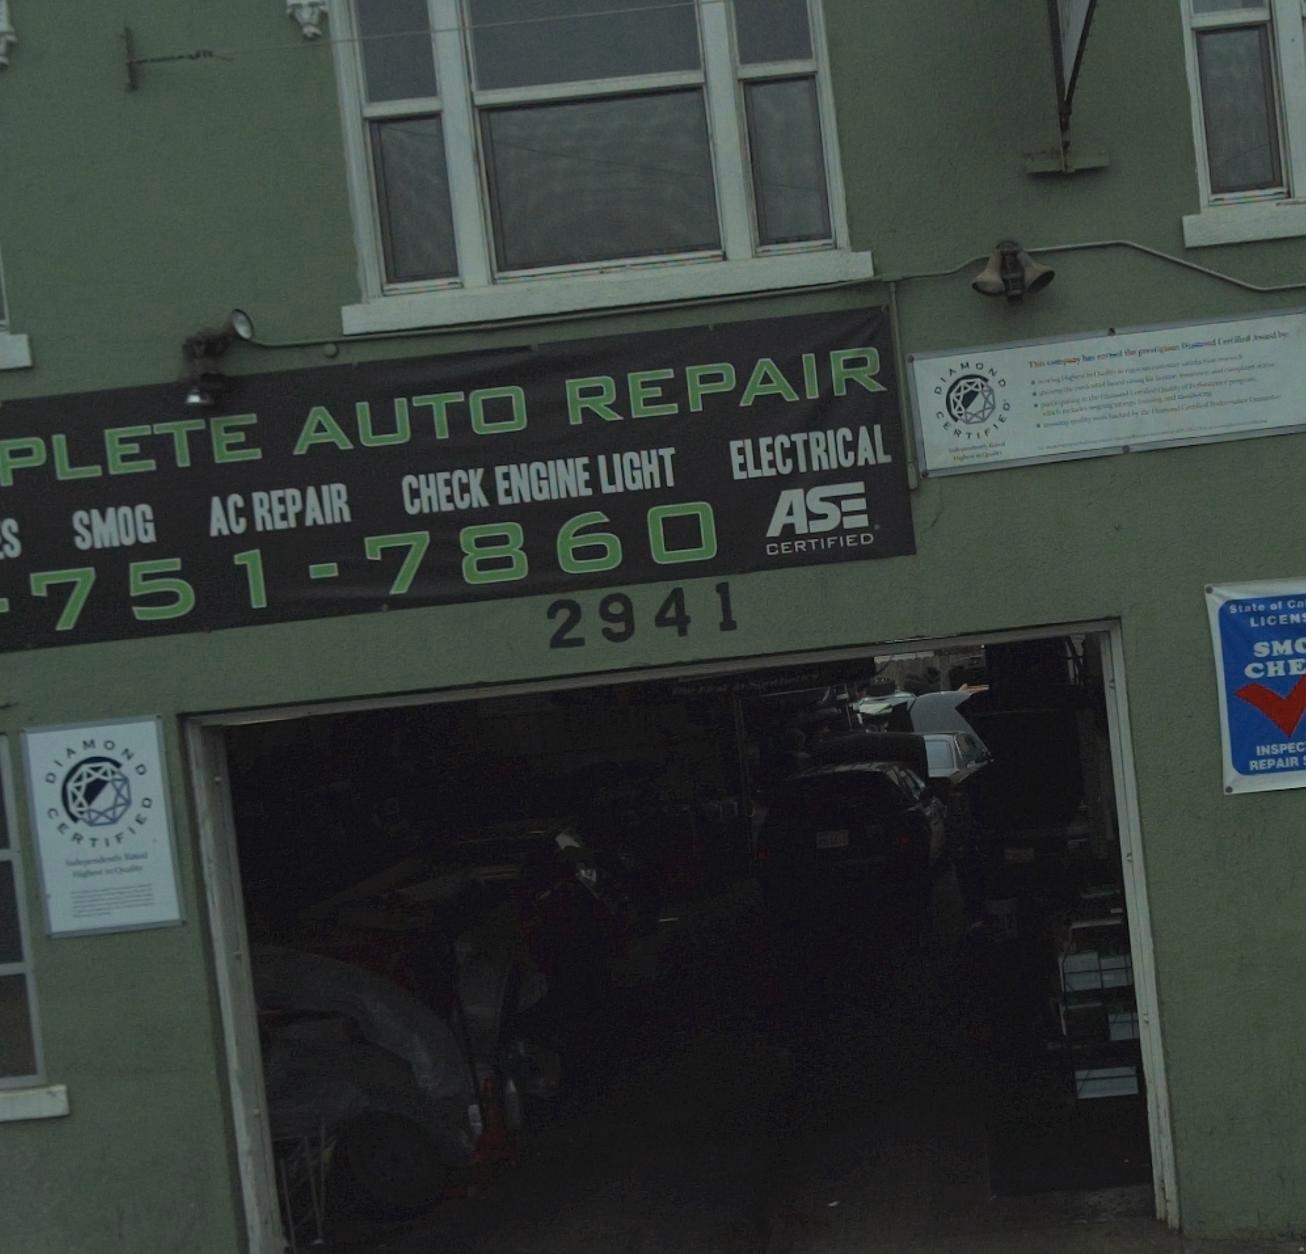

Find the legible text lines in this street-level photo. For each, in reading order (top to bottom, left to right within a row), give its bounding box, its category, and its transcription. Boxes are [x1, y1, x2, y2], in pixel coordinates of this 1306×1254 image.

[932, 360, 1010, 397] None: DIAMOND
[1024, 342, 1182, 373] None: This company has earned the prestigious
[0, 342, 893, 492] BusinessName: PLETE AUTO REPAIR
[933, 399, 1012, 442] None: CERTIFIED
[725, 421, 895, 484] None: ELECTRICAL
[397, 443, 682, 520] None: CHECK ENGINE LIGHT
[0, 513, 26, 564] None: S
[69, 500, 160, 556] None: SMOG
[205, 479, 356, 539] None: AC REPAIR
[26, 496, 723, 640] None: 751-7860
[761, 476, 873, 543] None: AS*
[763, 531, 875, 557] None: CERTIFIED
[540, 576, 741, 656] StreetNumber: 2941
[1227, 594, 1306, 617] None: State of Ca
[1244, 610, 1306, 630] None: LICEN*
[1248, 636, 1295, 661] None: SM
[1243, 656, 1306, 682] None: CHE
[41, 735, 151, 785] None: DIAMOND
[1245, 755, 1302, 774] None: REPAIR
[1255, 739, 1306, 757] None: INSPEC
[40, 794, 156, 851] None: CERTIFIED